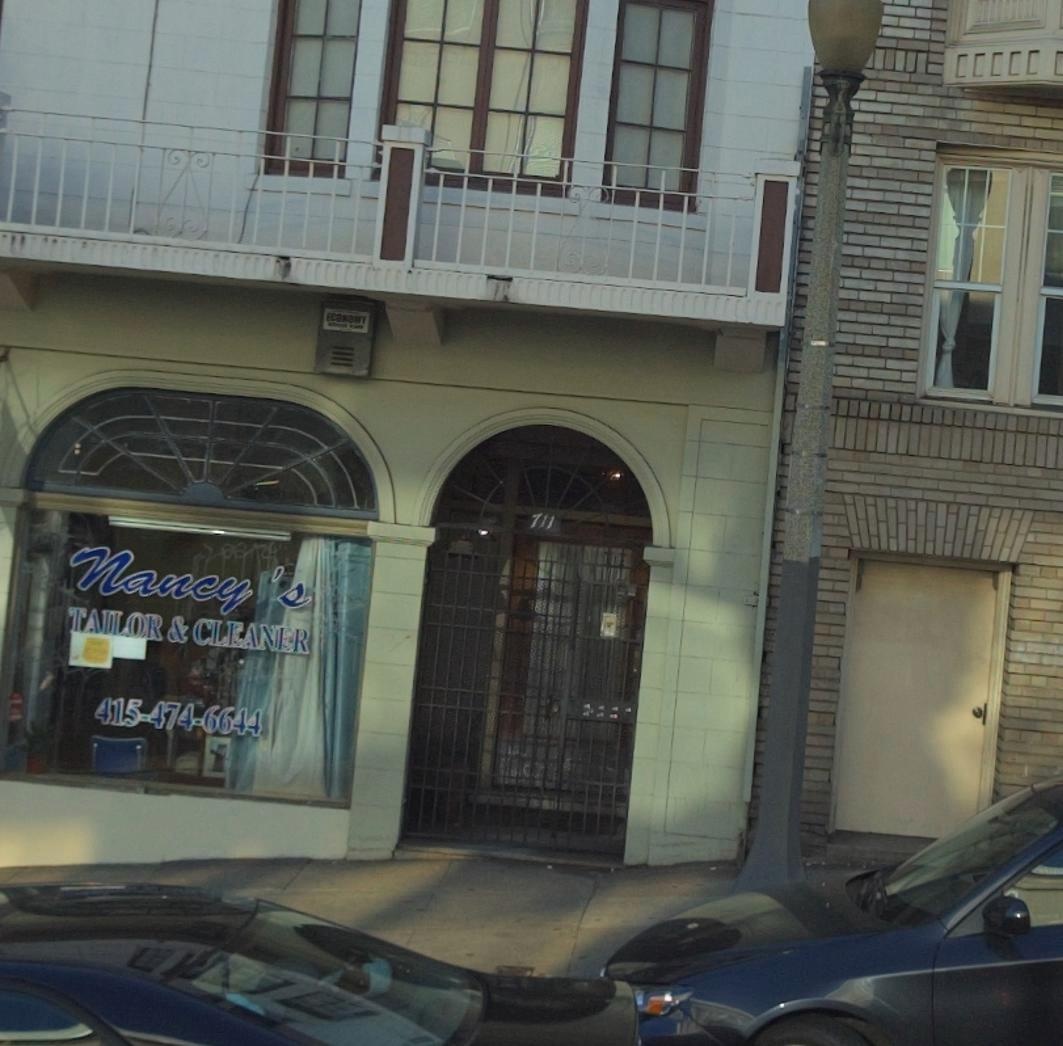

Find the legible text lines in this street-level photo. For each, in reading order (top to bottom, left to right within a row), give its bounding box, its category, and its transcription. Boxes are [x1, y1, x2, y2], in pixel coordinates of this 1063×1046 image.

[324, 311, 368, 326] None: ECONOMY
[527, 511, 558, 531] StreetNumber: 711
[67, 545, 313, 617] BusinessName: Nancy's
[67, 604, 311, 657] BusinessName: TAILOR & CLEANER
[91, 695, 265, 739] None: 415-474-6644